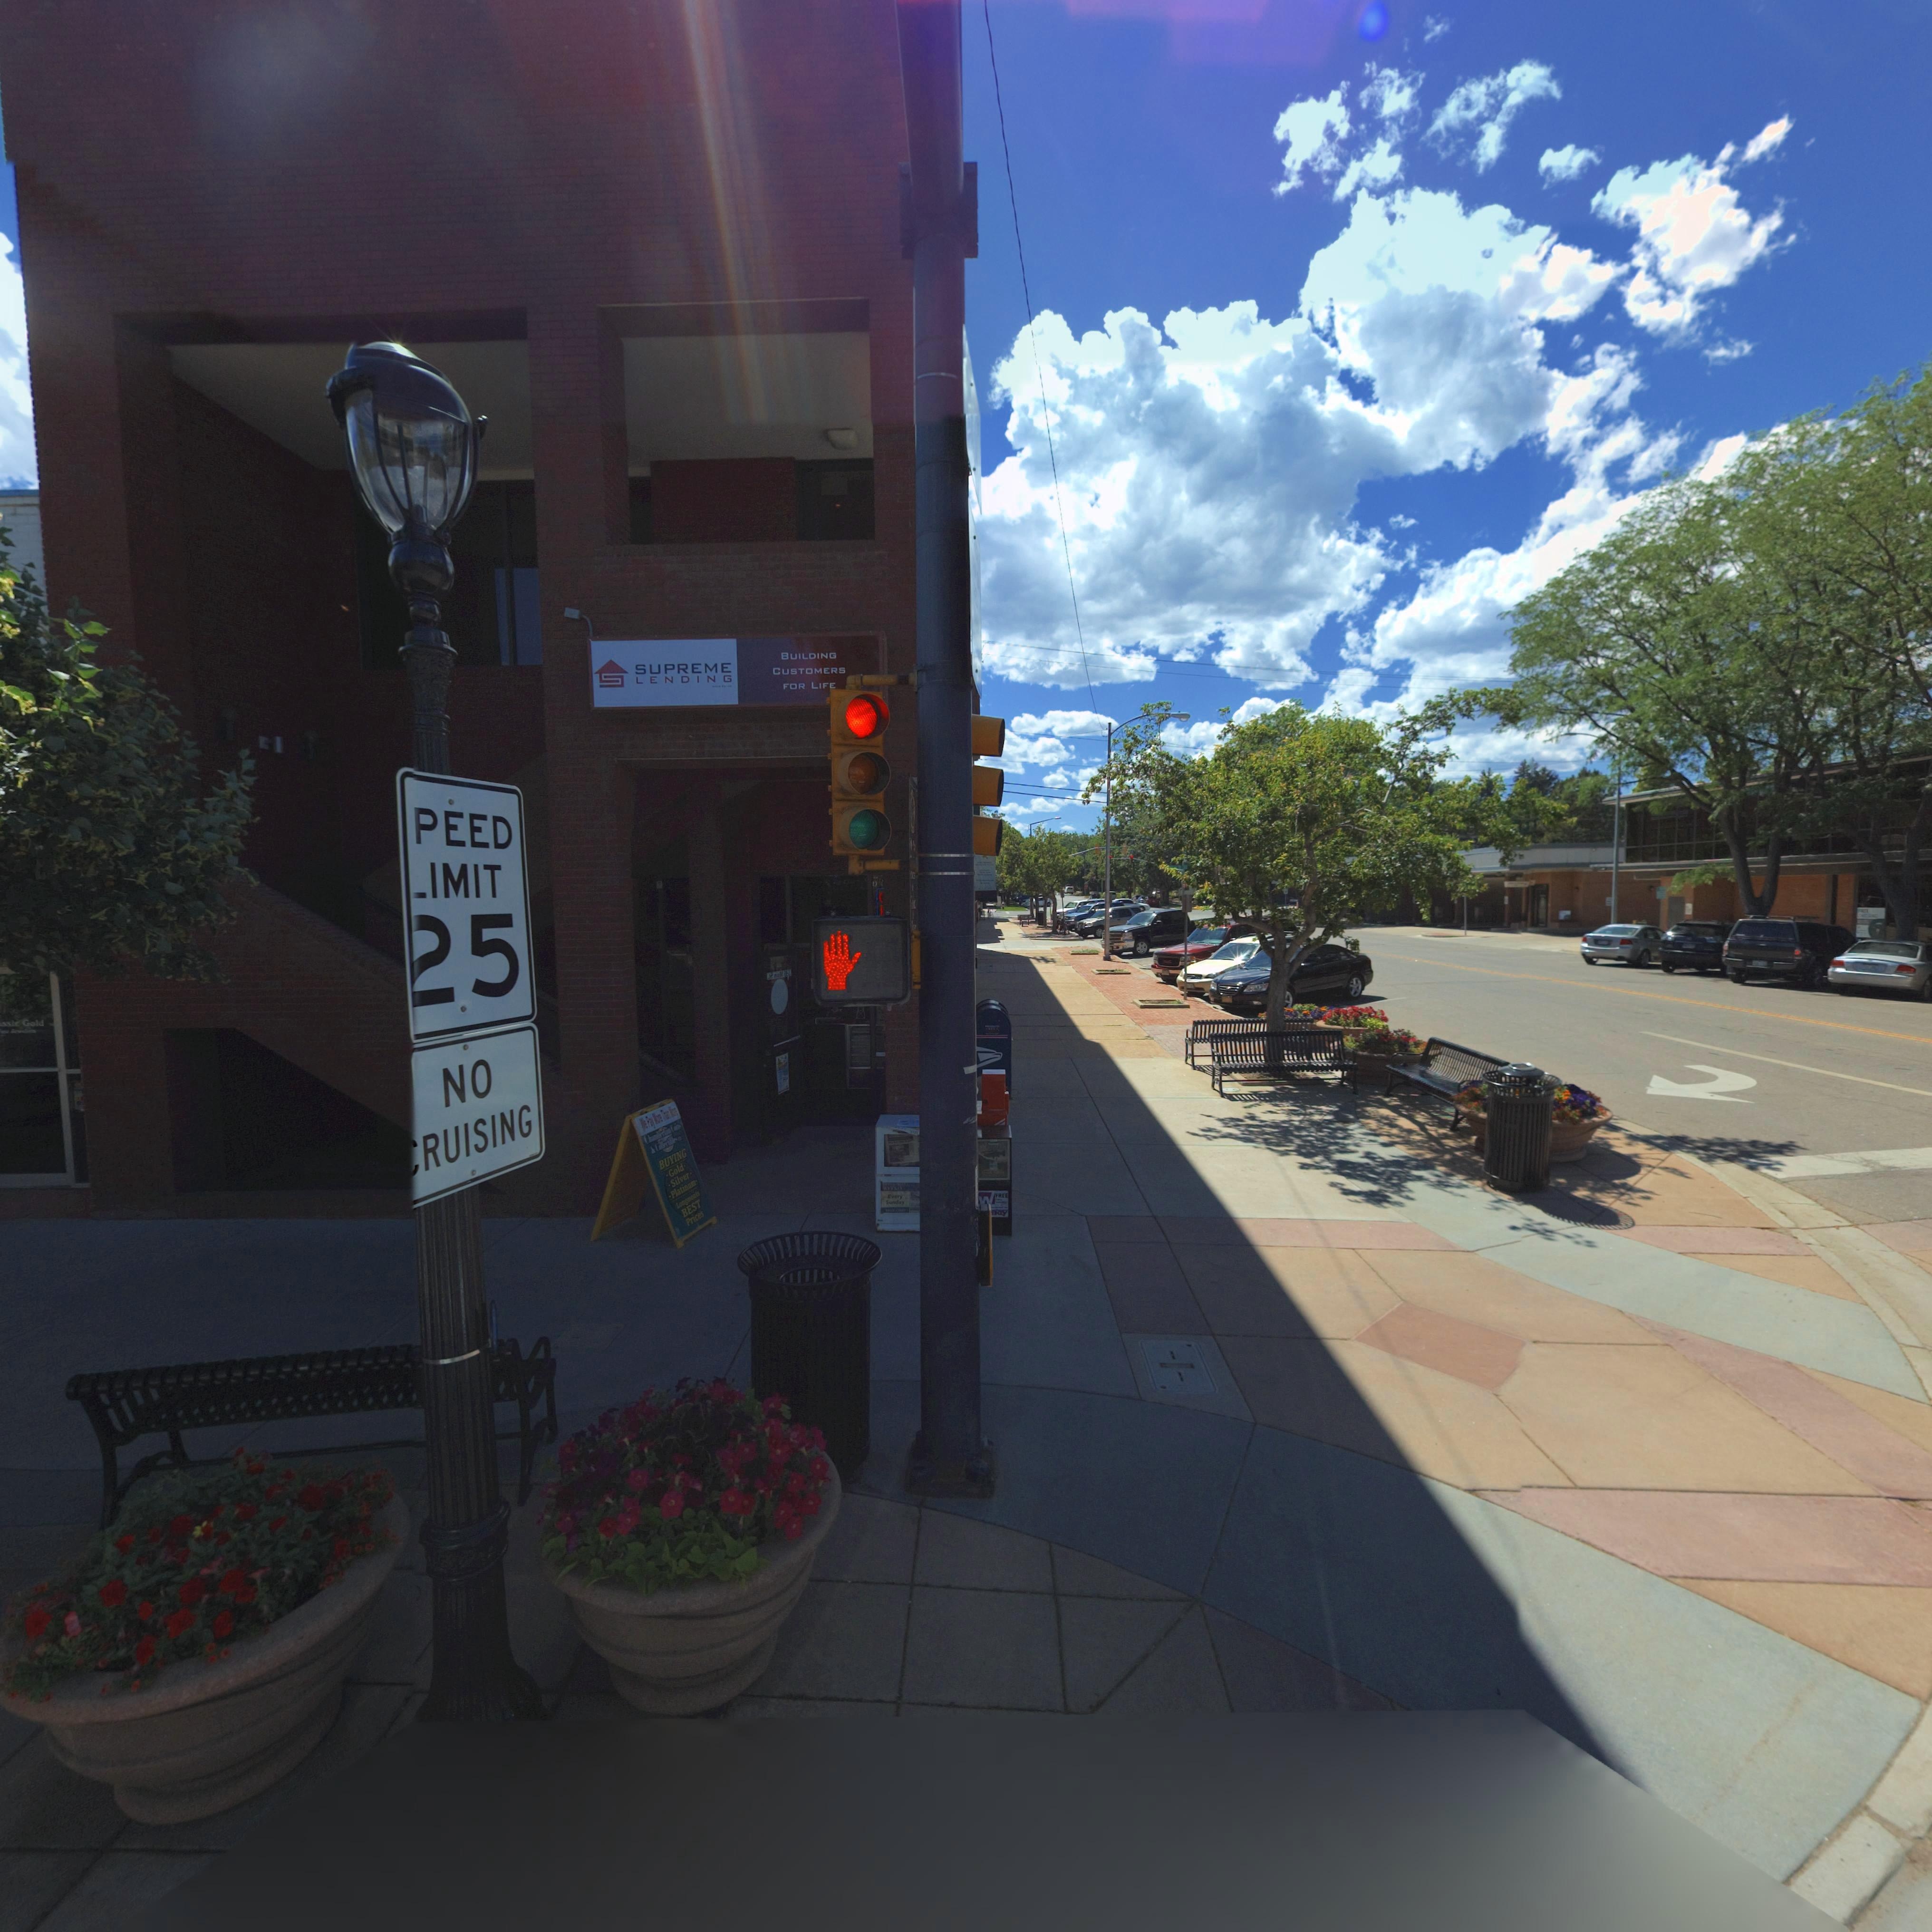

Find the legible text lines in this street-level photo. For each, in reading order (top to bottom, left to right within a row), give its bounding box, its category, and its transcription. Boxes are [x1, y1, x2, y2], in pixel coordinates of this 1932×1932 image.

[634, 662, 732, 675] BusinessName: SUPREME
[635, 674, 732, 684] BusinessName: LENDING
[767, 970, 783, 979] StreetName: t* *i*M
[2, 1019, 44, 1027] BusinessName: ssic Gold